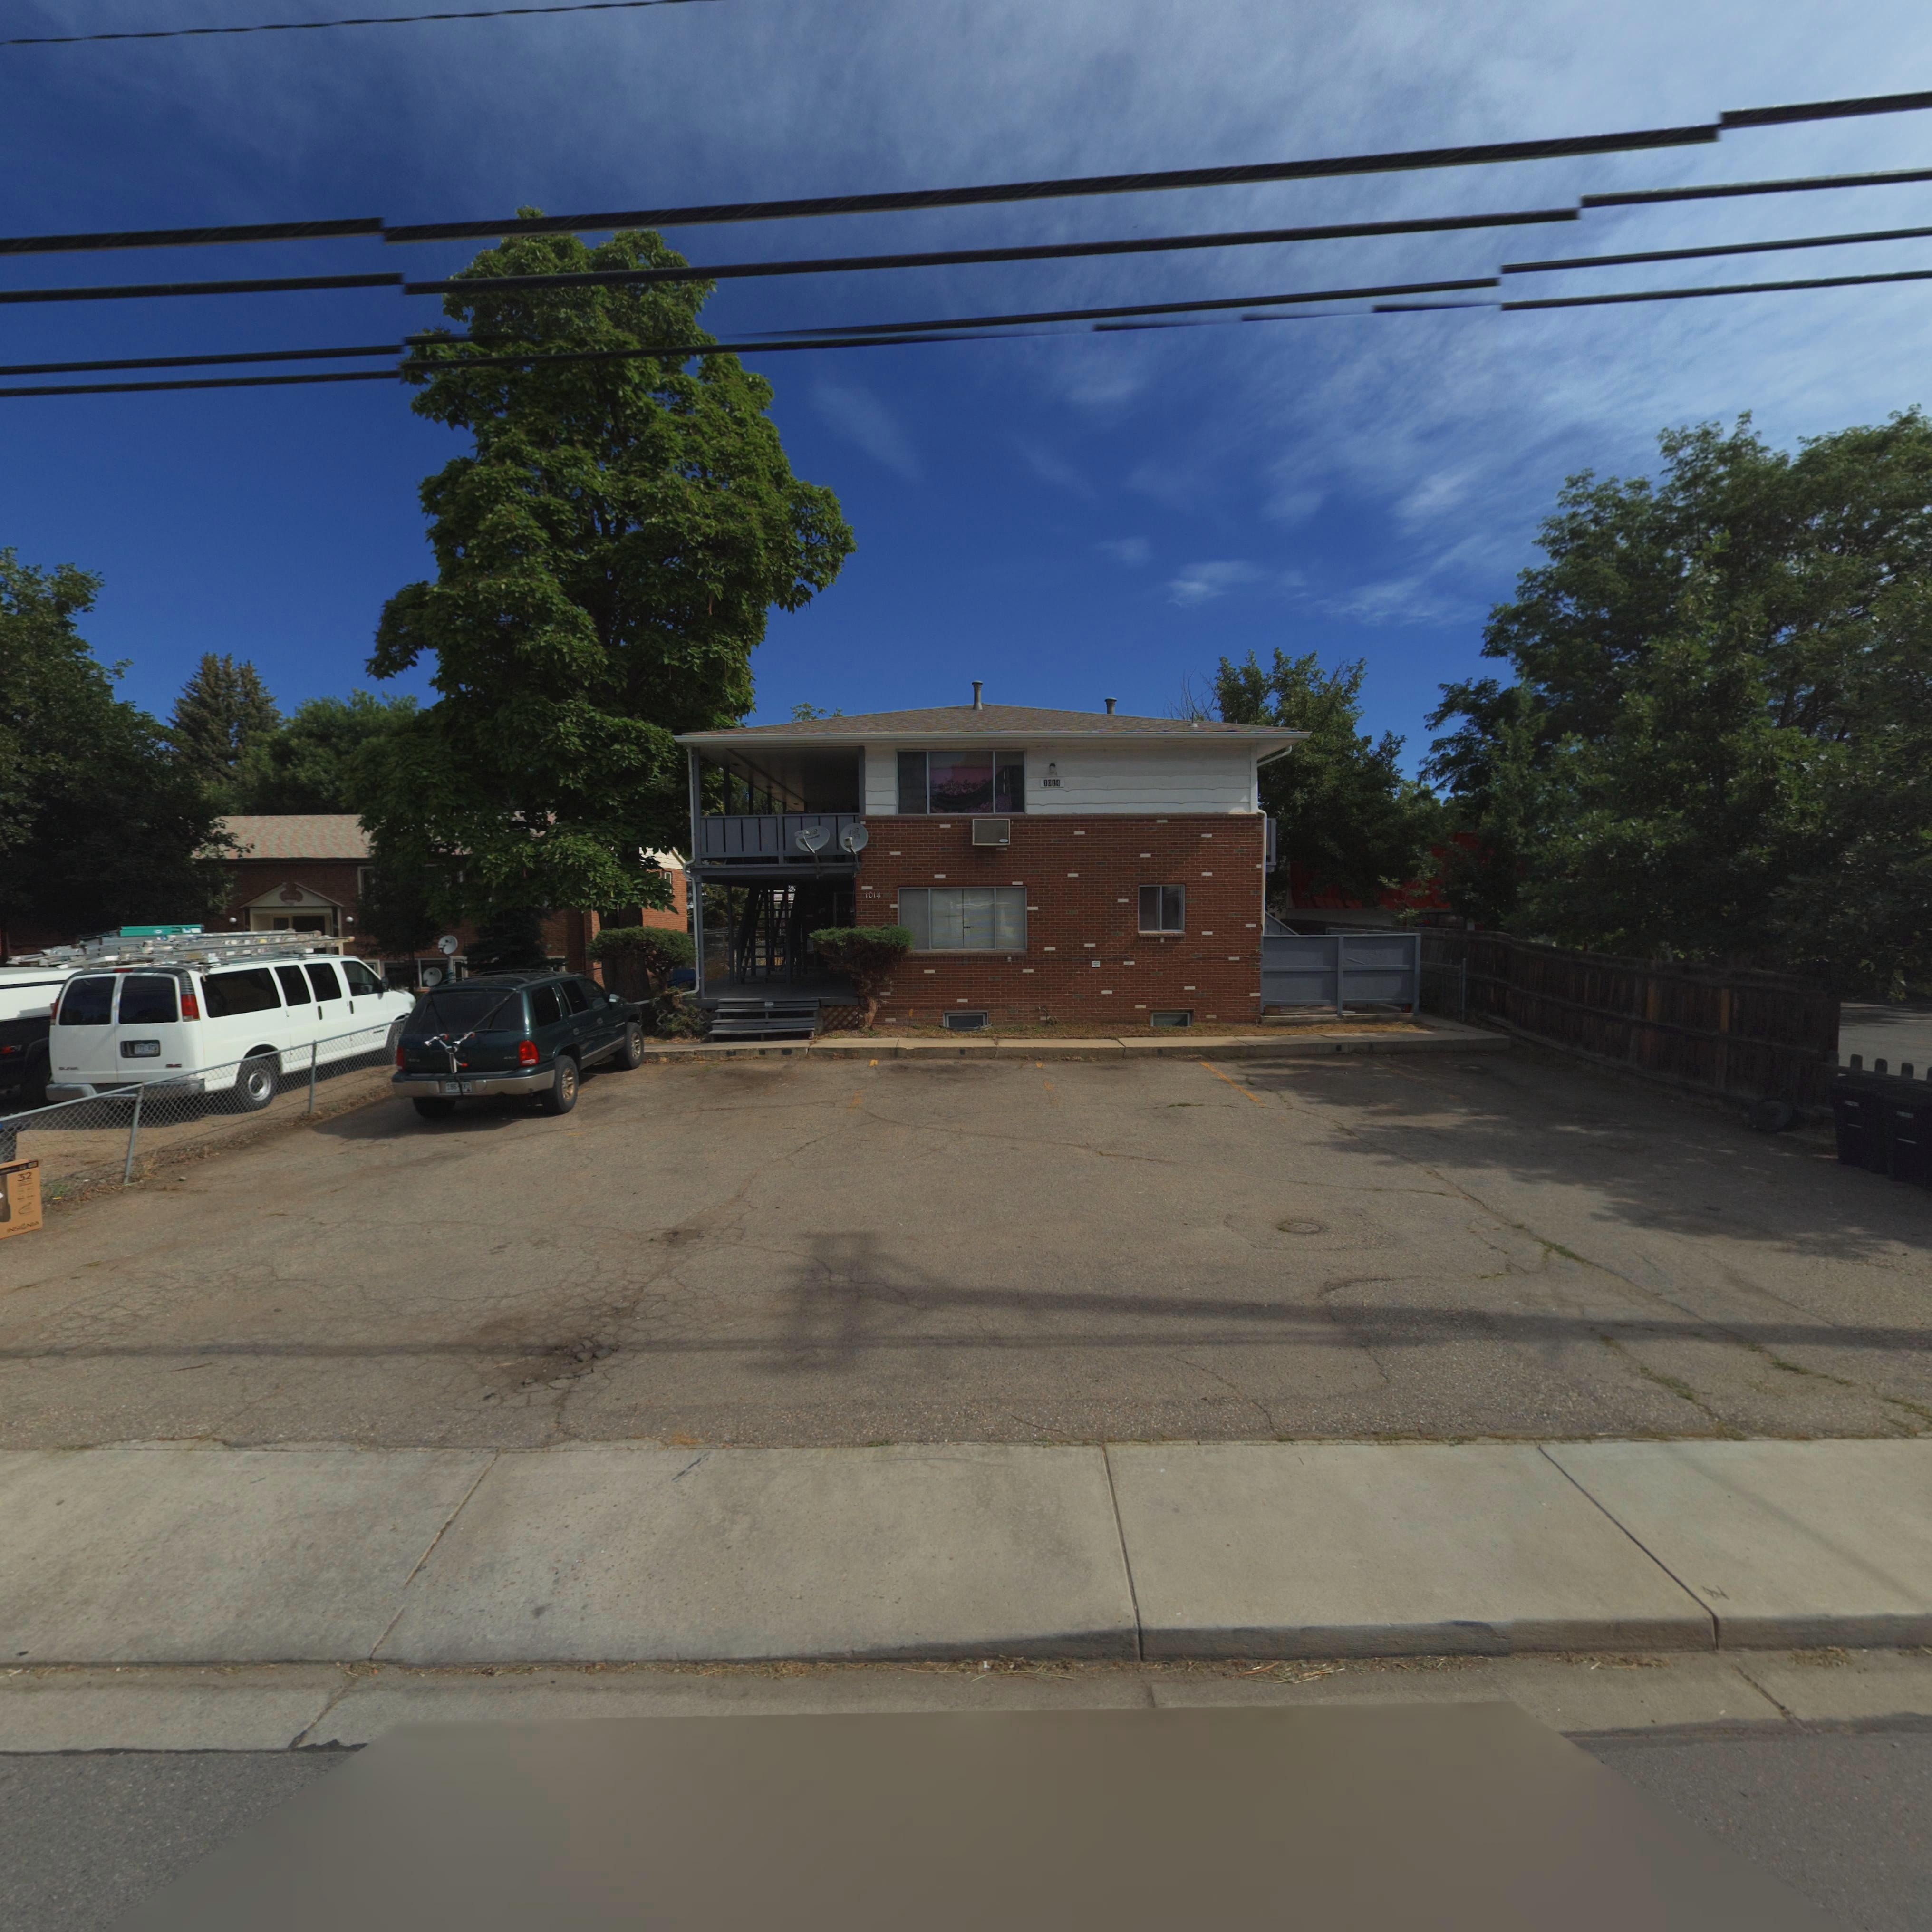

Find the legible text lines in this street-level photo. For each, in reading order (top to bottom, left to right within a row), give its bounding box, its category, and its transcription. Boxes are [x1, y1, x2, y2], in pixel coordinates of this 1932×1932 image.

[1043, 780, 1059, 786] StreetNumber: 1014
[865, 891, 881, 899] StreetNumber: 1014